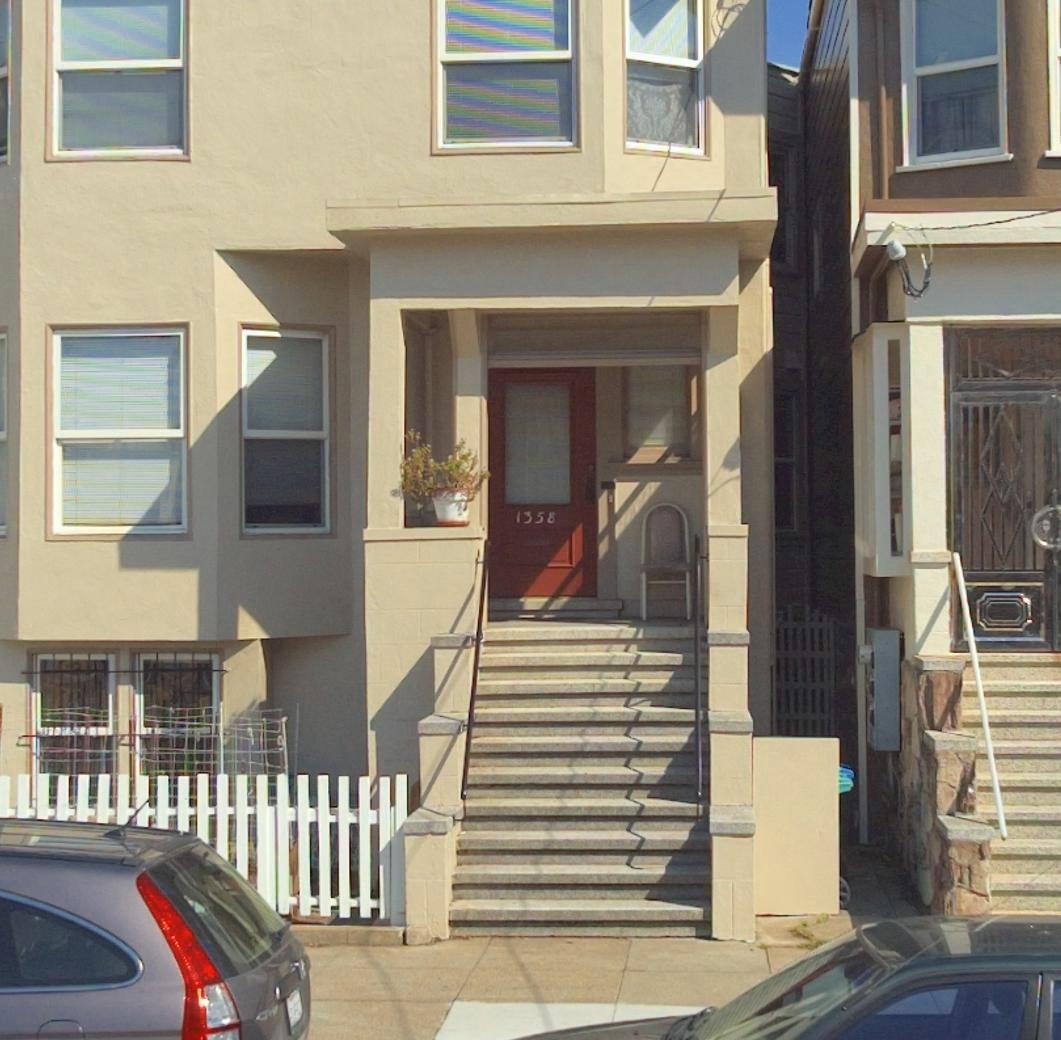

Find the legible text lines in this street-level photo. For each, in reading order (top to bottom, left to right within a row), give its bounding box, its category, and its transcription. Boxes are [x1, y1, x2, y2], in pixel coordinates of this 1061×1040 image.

[514, 509, 556, 526] StreetNumber: 1358